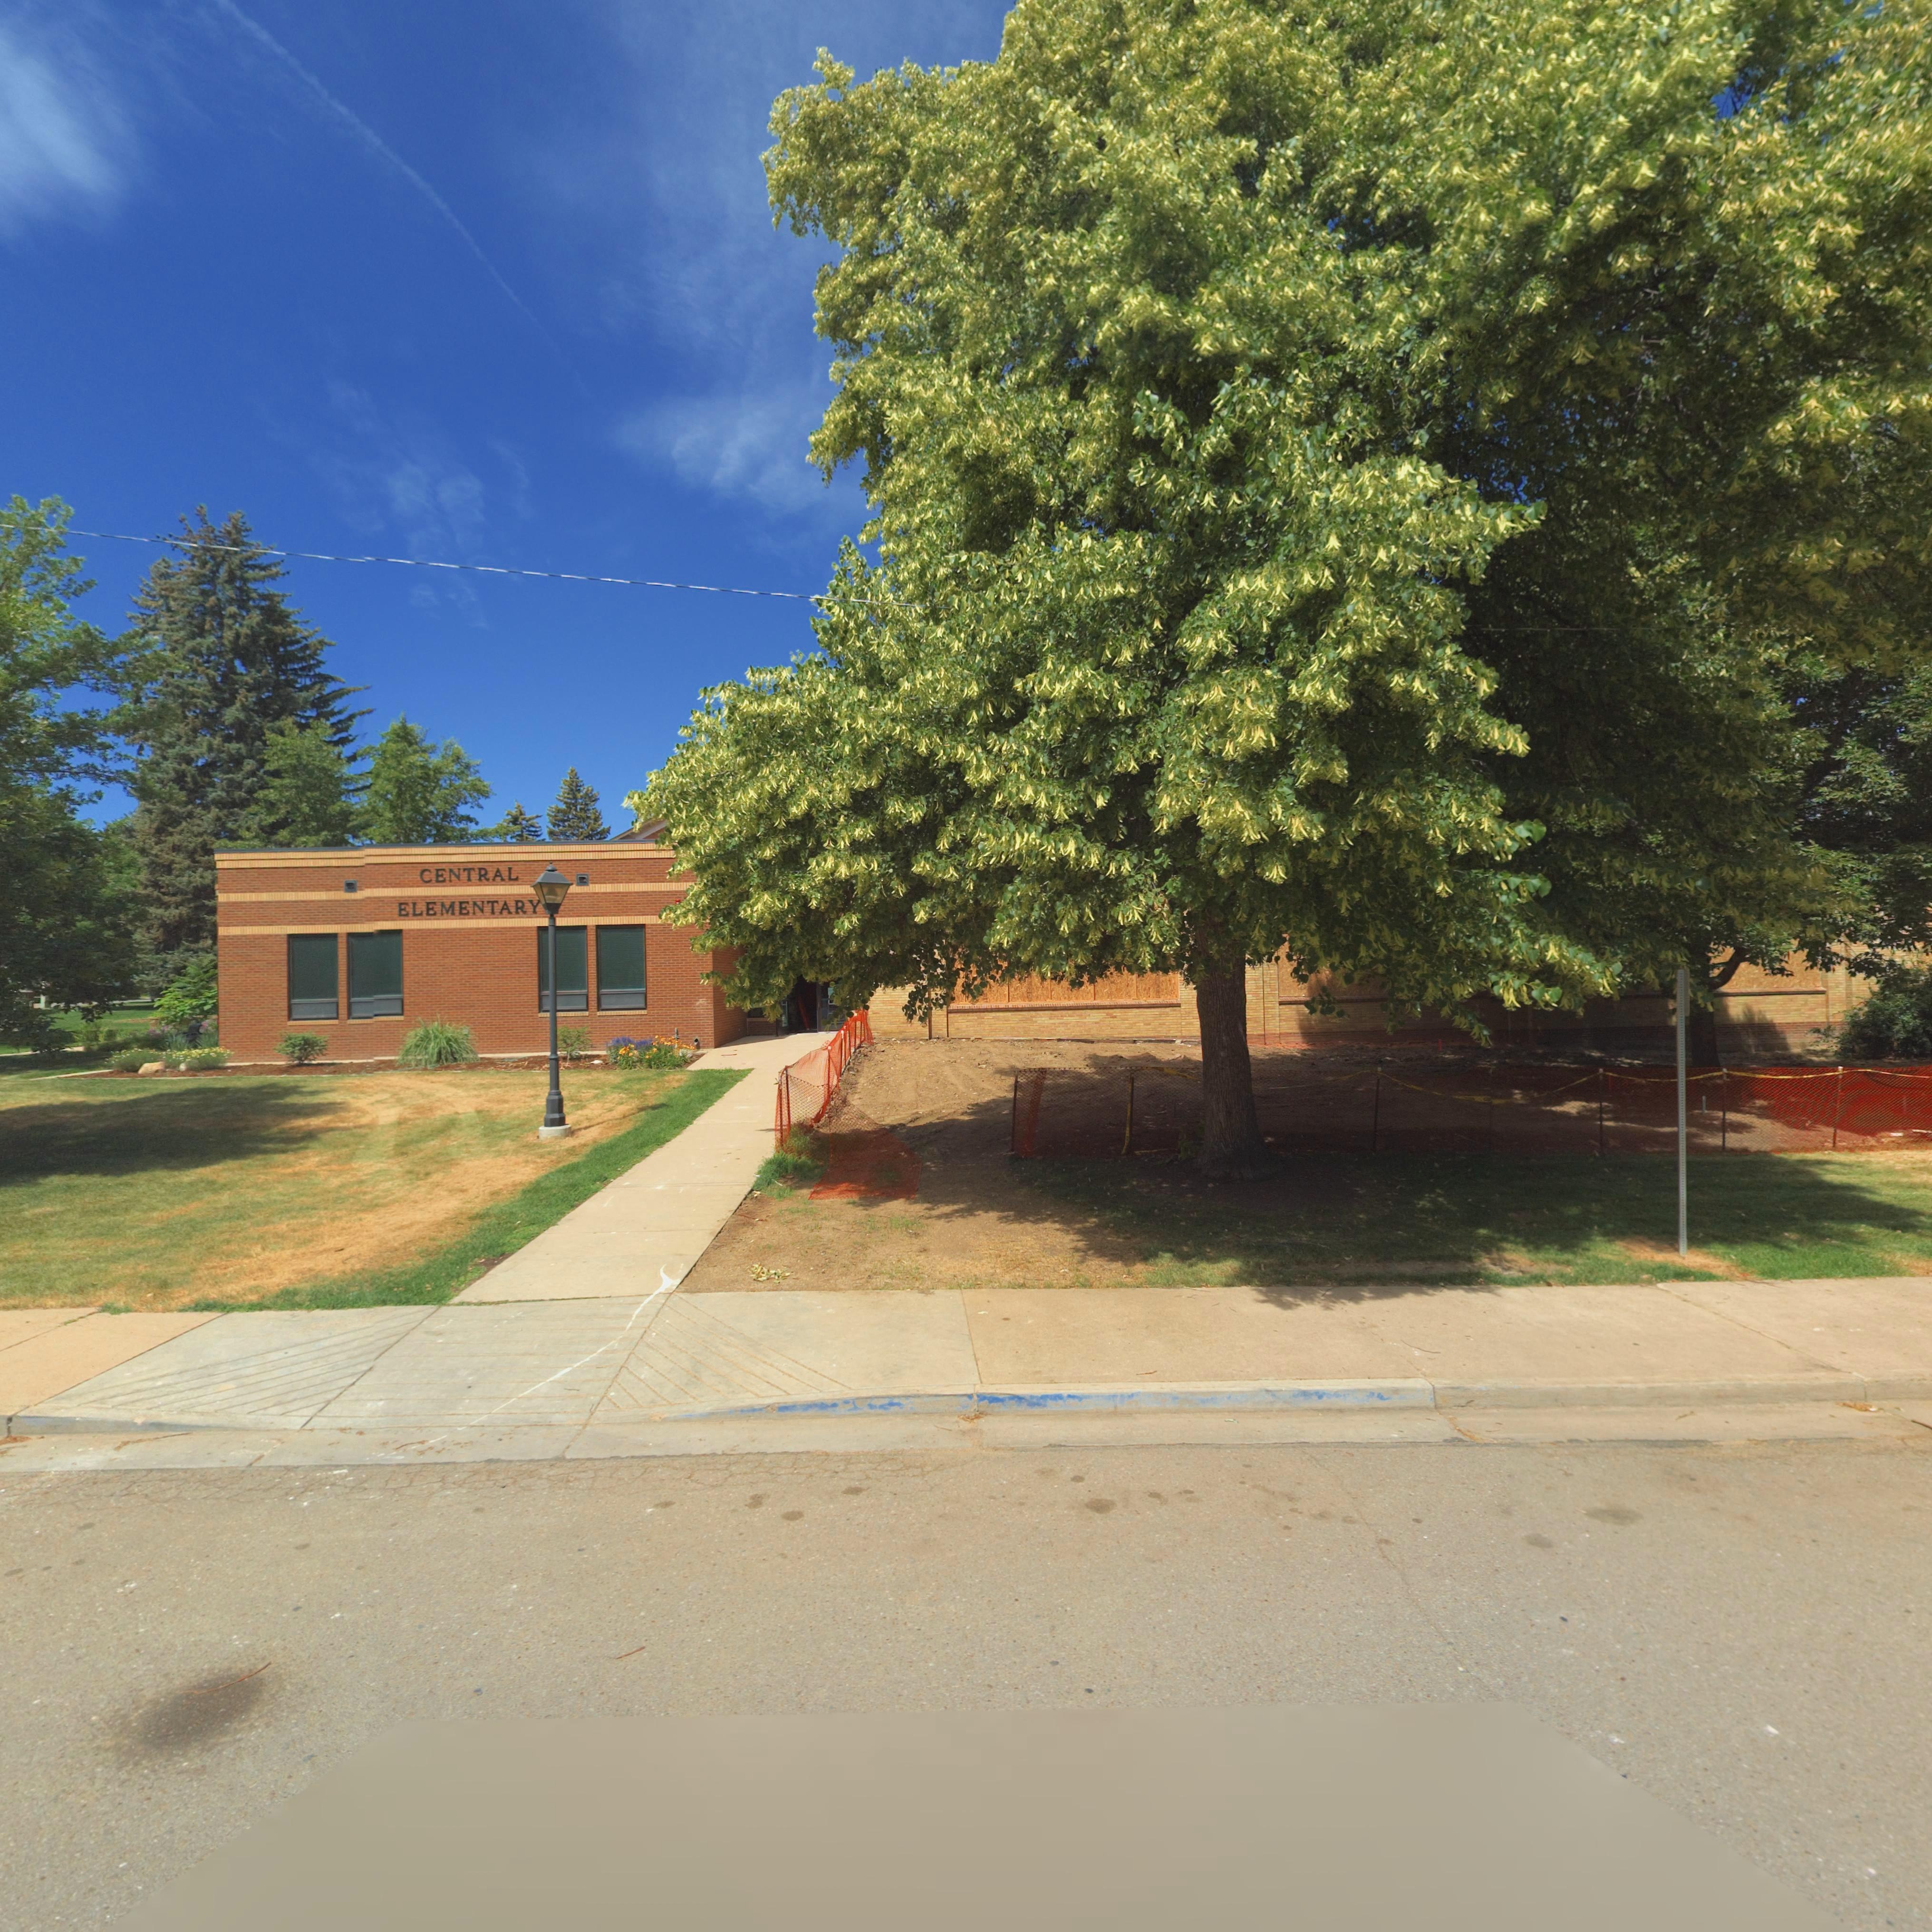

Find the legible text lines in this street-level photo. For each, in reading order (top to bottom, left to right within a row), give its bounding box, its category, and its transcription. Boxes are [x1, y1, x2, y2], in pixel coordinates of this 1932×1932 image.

[418, 866, 520, 883] BusinessName: CENTRAL
[397, 898, 541, 916] BusinessName: ELEMENTARY